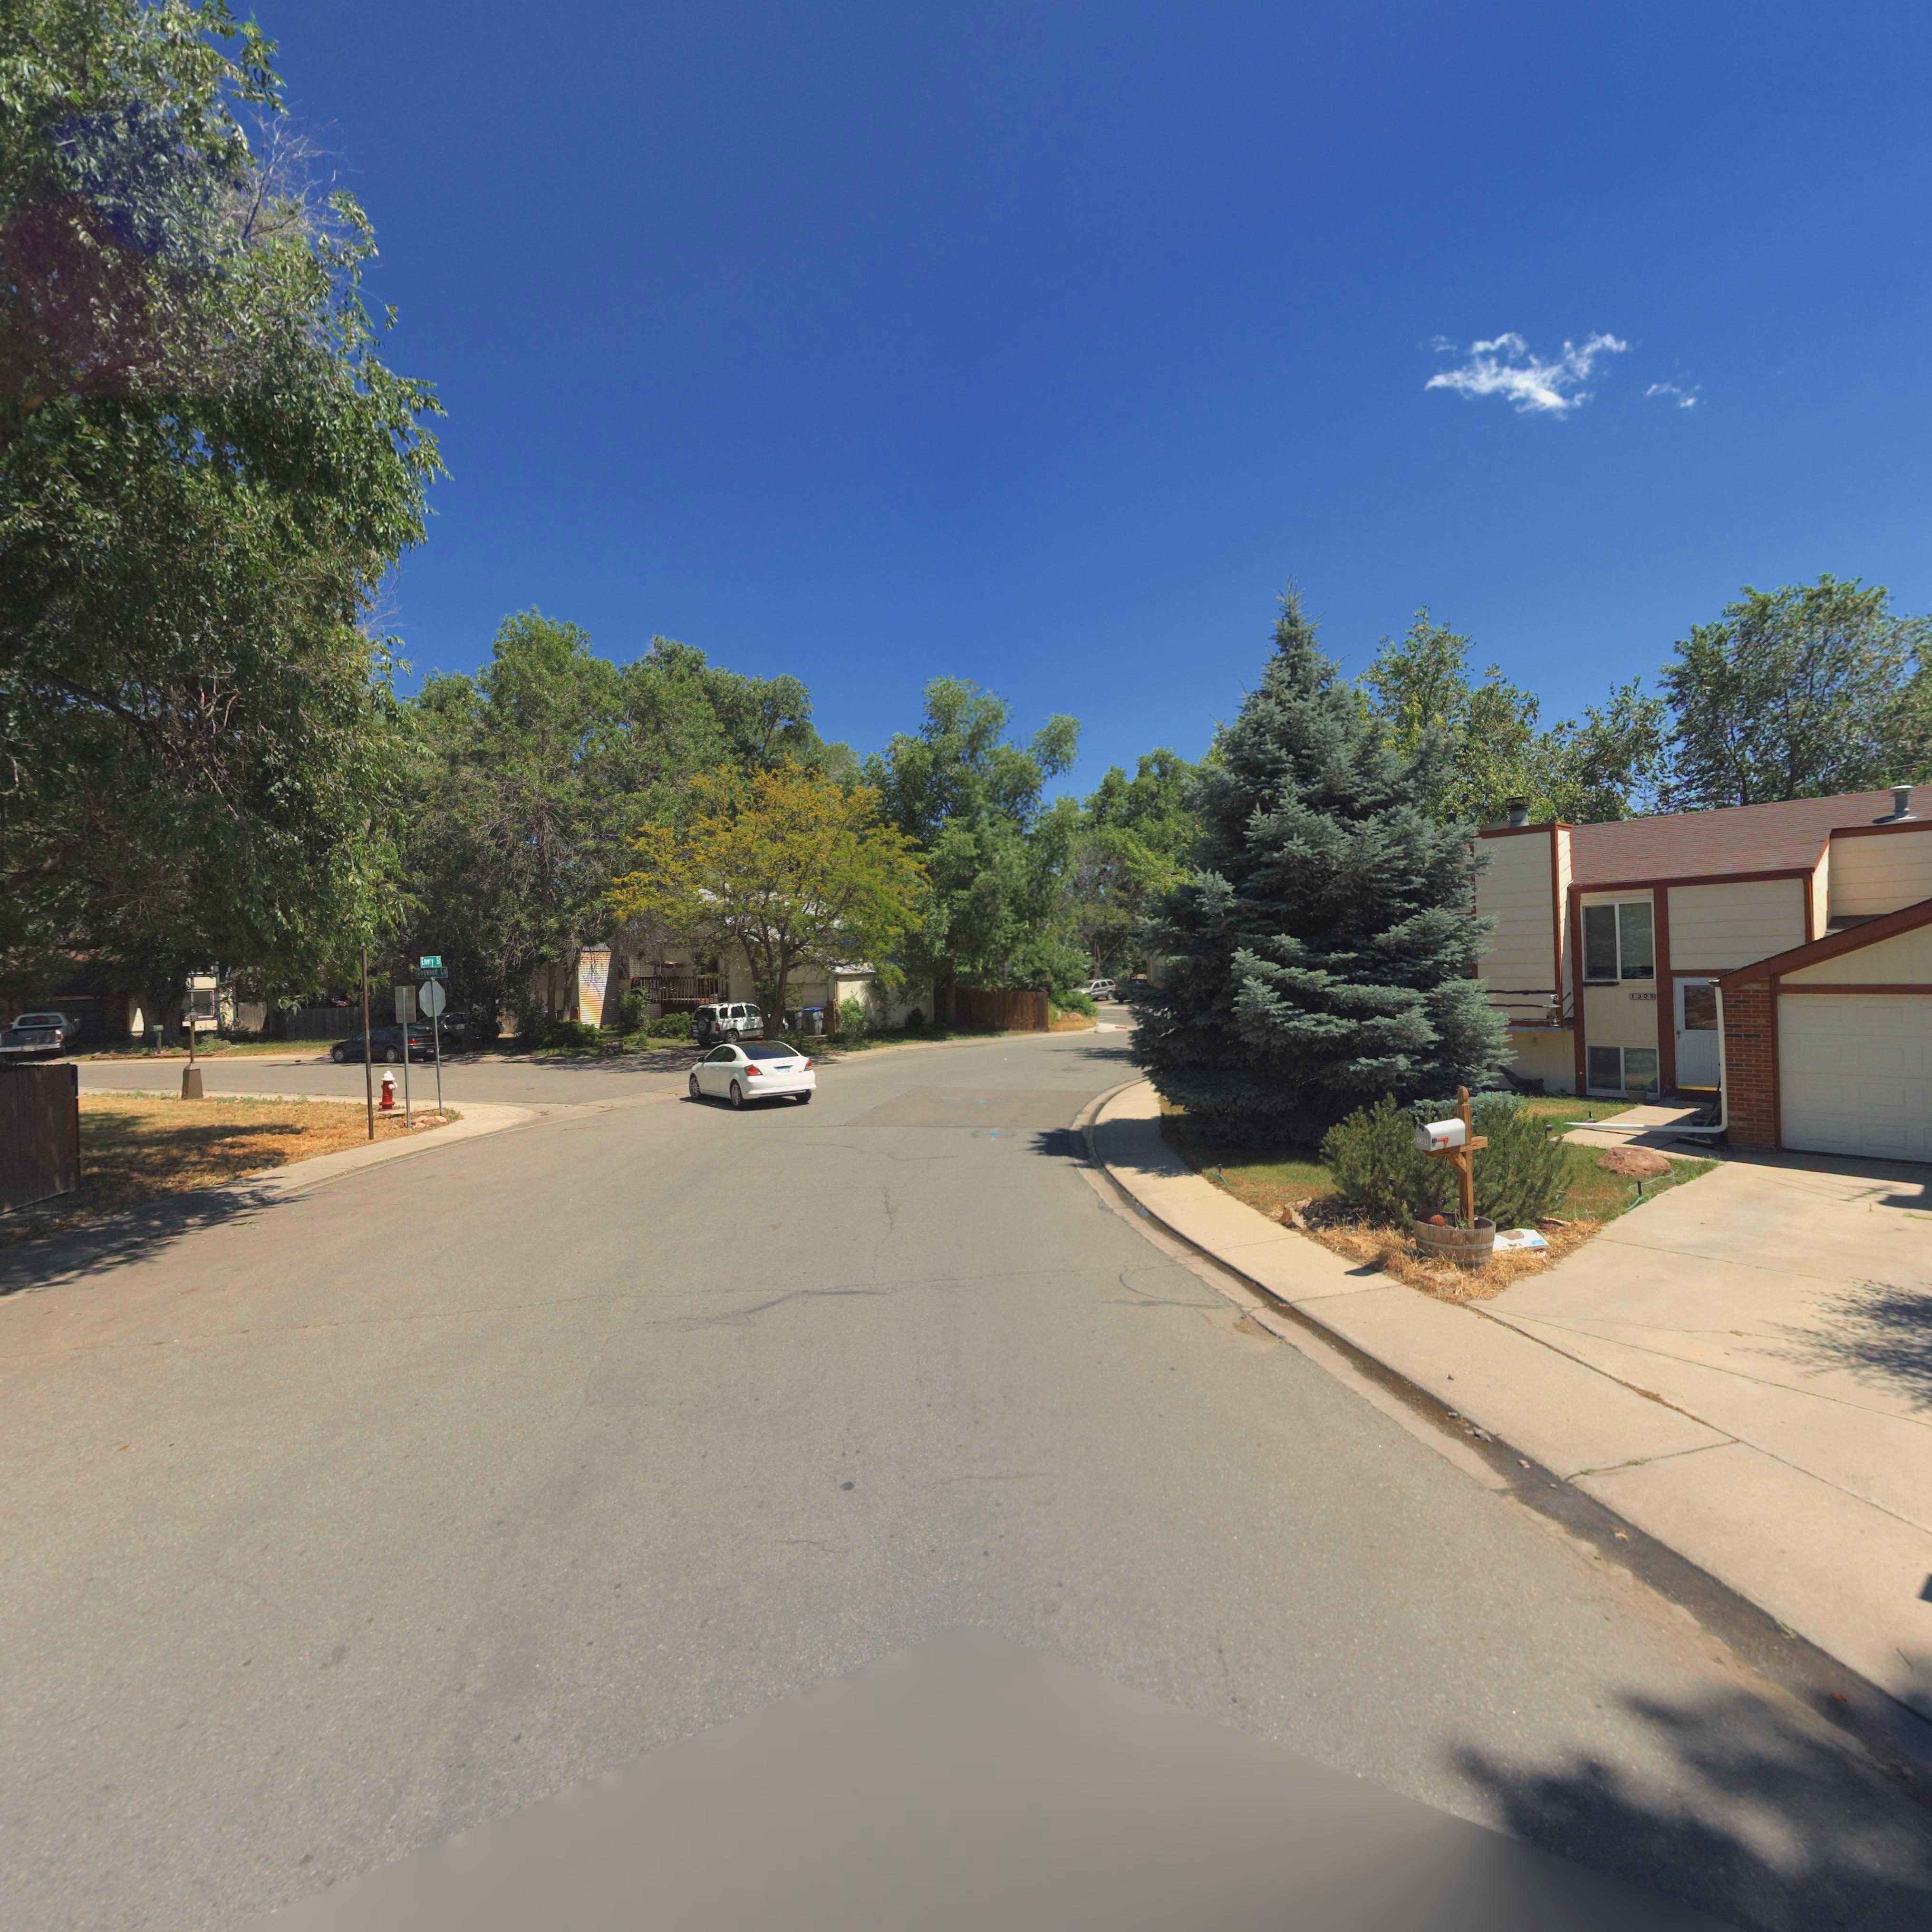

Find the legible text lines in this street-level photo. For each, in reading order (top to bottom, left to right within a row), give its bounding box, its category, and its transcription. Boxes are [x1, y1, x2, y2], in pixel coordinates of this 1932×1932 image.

[420, 956, 441, 966] StreetName: Emery St
[417, 967, 447, 977] StreetName: Dogwood Ln
[1631, 993, 1654, 998] StreetNumber: 1305
[1418, 1137, 1428, 1144] StreetNumber: 1305